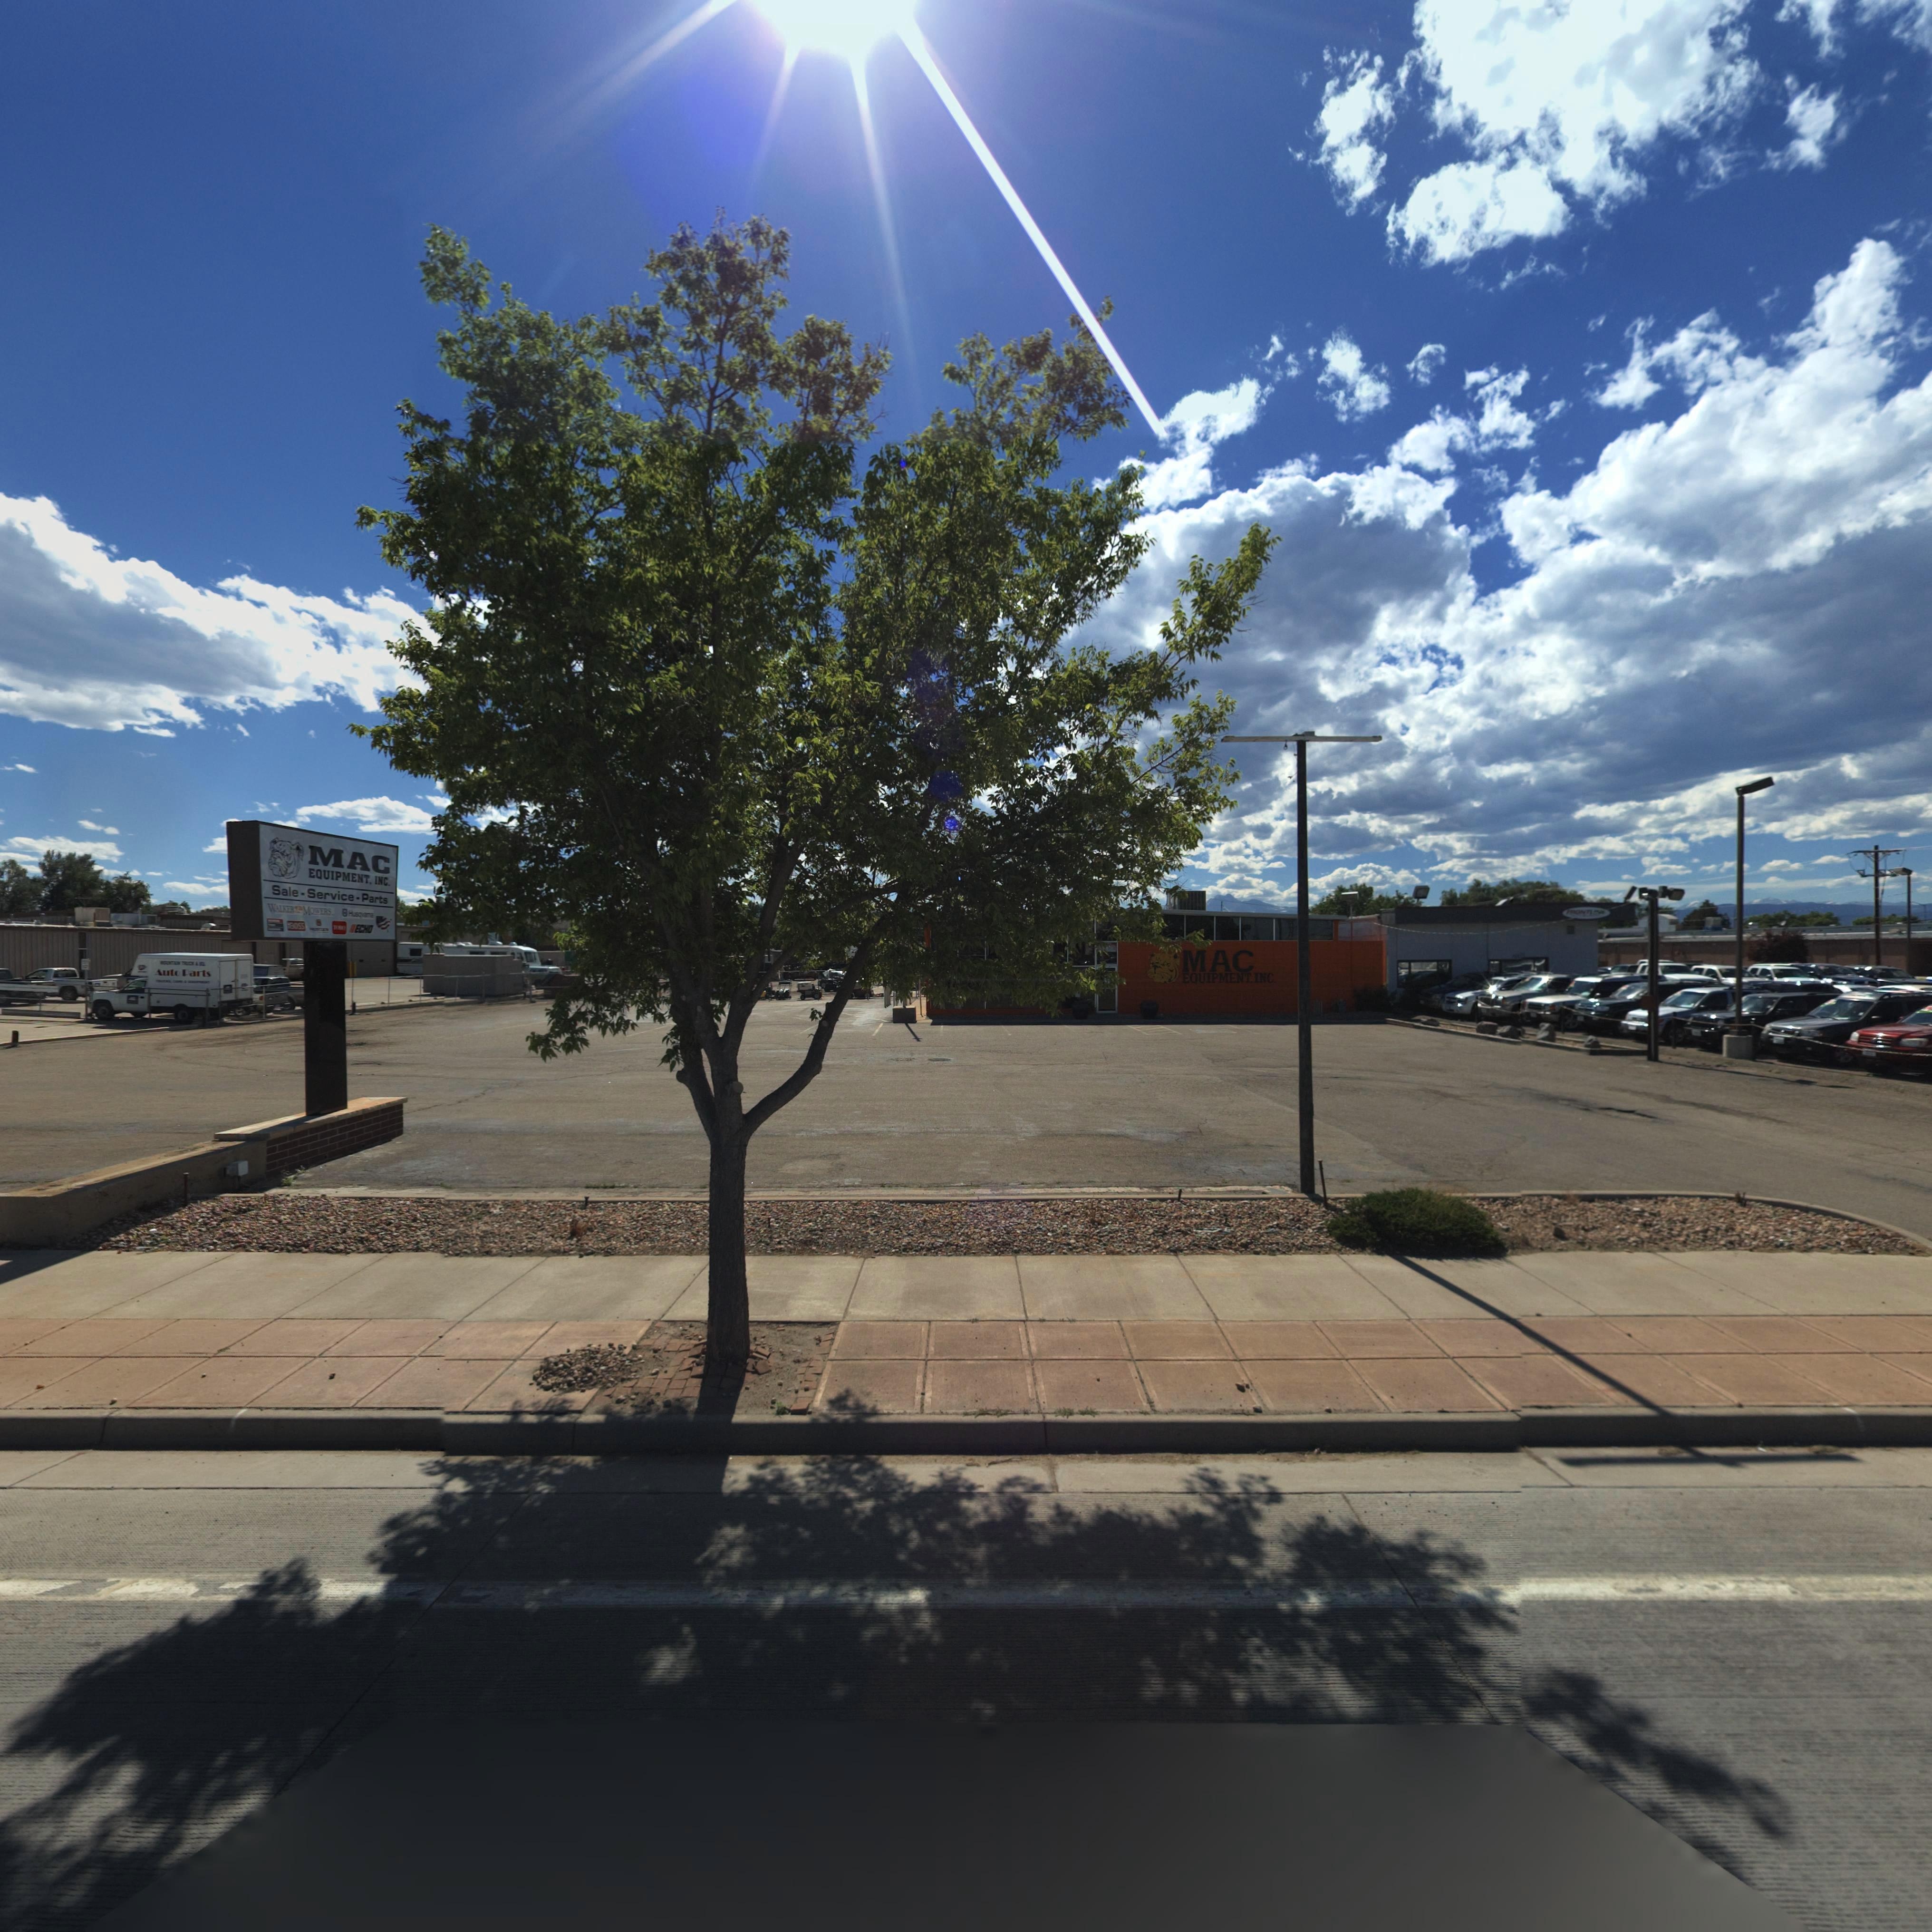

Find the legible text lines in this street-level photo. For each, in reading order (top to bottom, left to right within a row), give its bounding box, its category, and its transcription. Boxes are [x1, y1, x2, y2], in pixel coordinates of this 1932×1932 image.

[306, 843, 390, 875] BusinessName: MAC
[308, 867, 391, 887] BusinessName: EQUIPMENT, INC.
[1564, 908, 1605, 916] BusinessName: *RONT****
[1180, 948, 1256, 974] BusinessName: MAC
[1181, 971, 1277, 984] BusinessName: EQUIPMENT, INC.